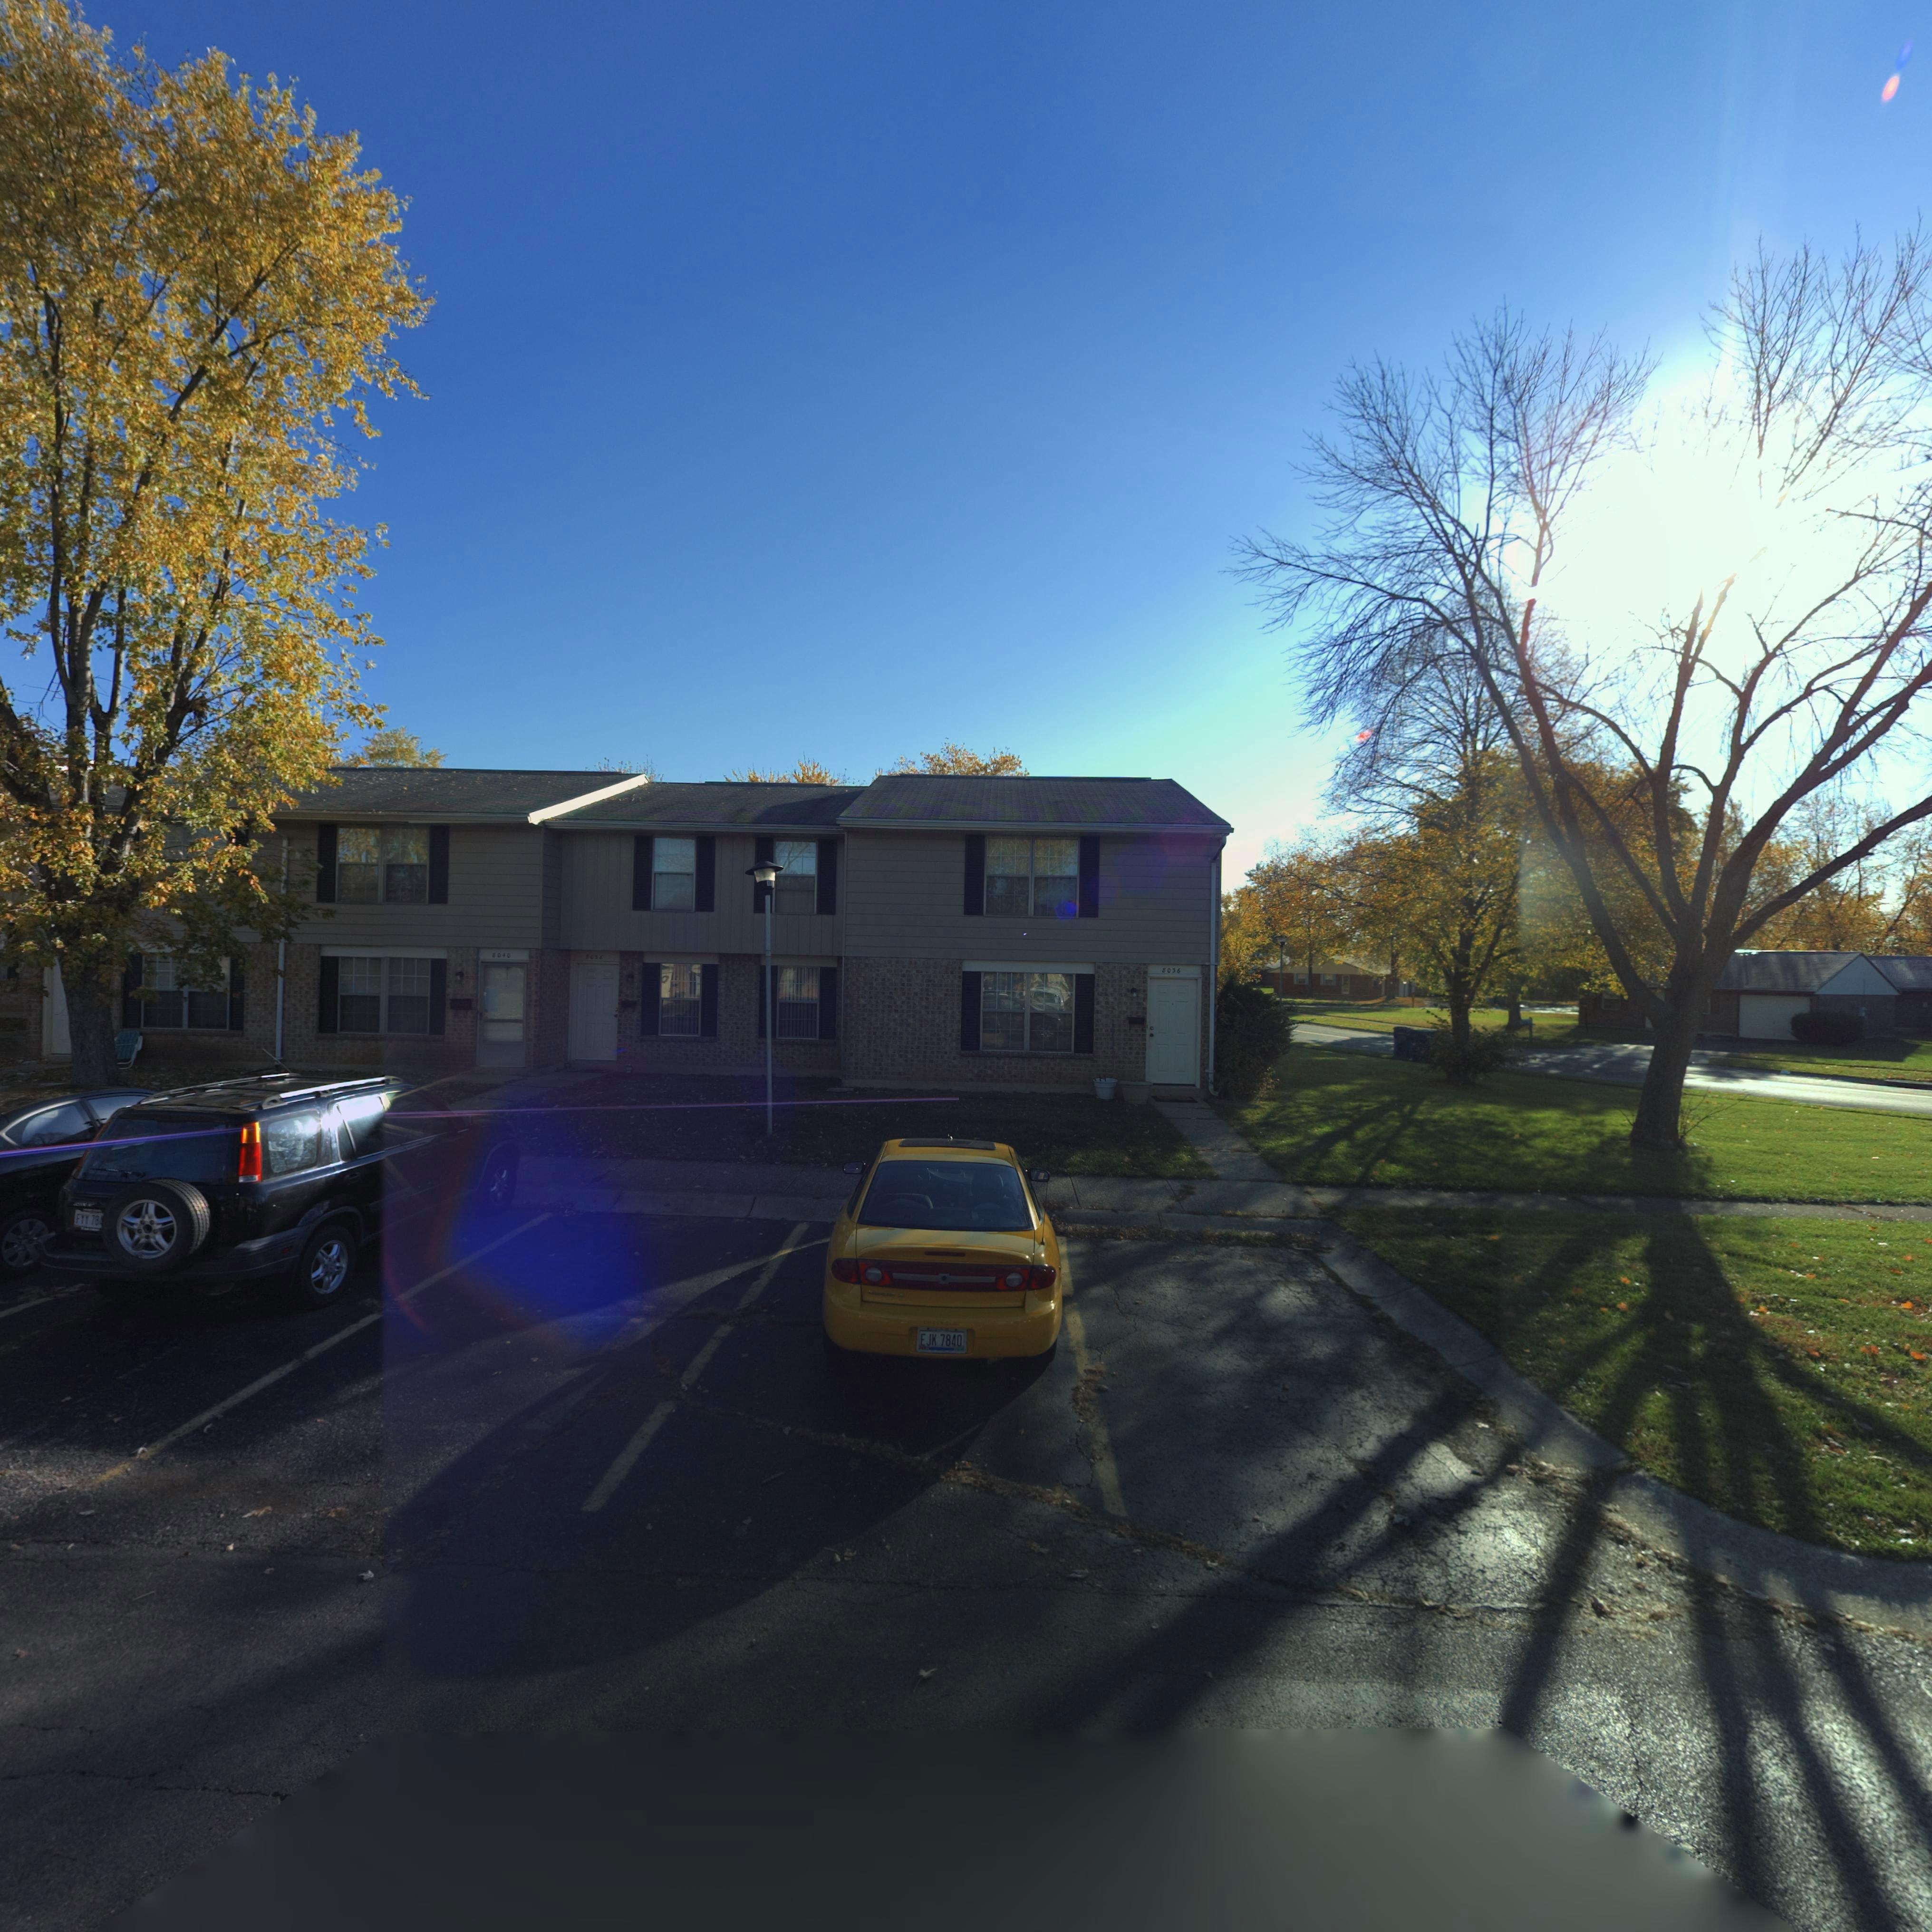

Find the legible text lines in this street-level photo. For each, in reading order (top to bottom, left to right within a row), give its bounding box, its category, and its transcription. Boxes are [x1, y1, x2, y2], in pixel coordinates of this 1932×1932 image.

[492, 952, 511, 958] StreetNumber: 8040
[585, 954, 603, 959] StreetNumber: 8038
[1161, 967, 1181, 974] StreetNumber: 8036